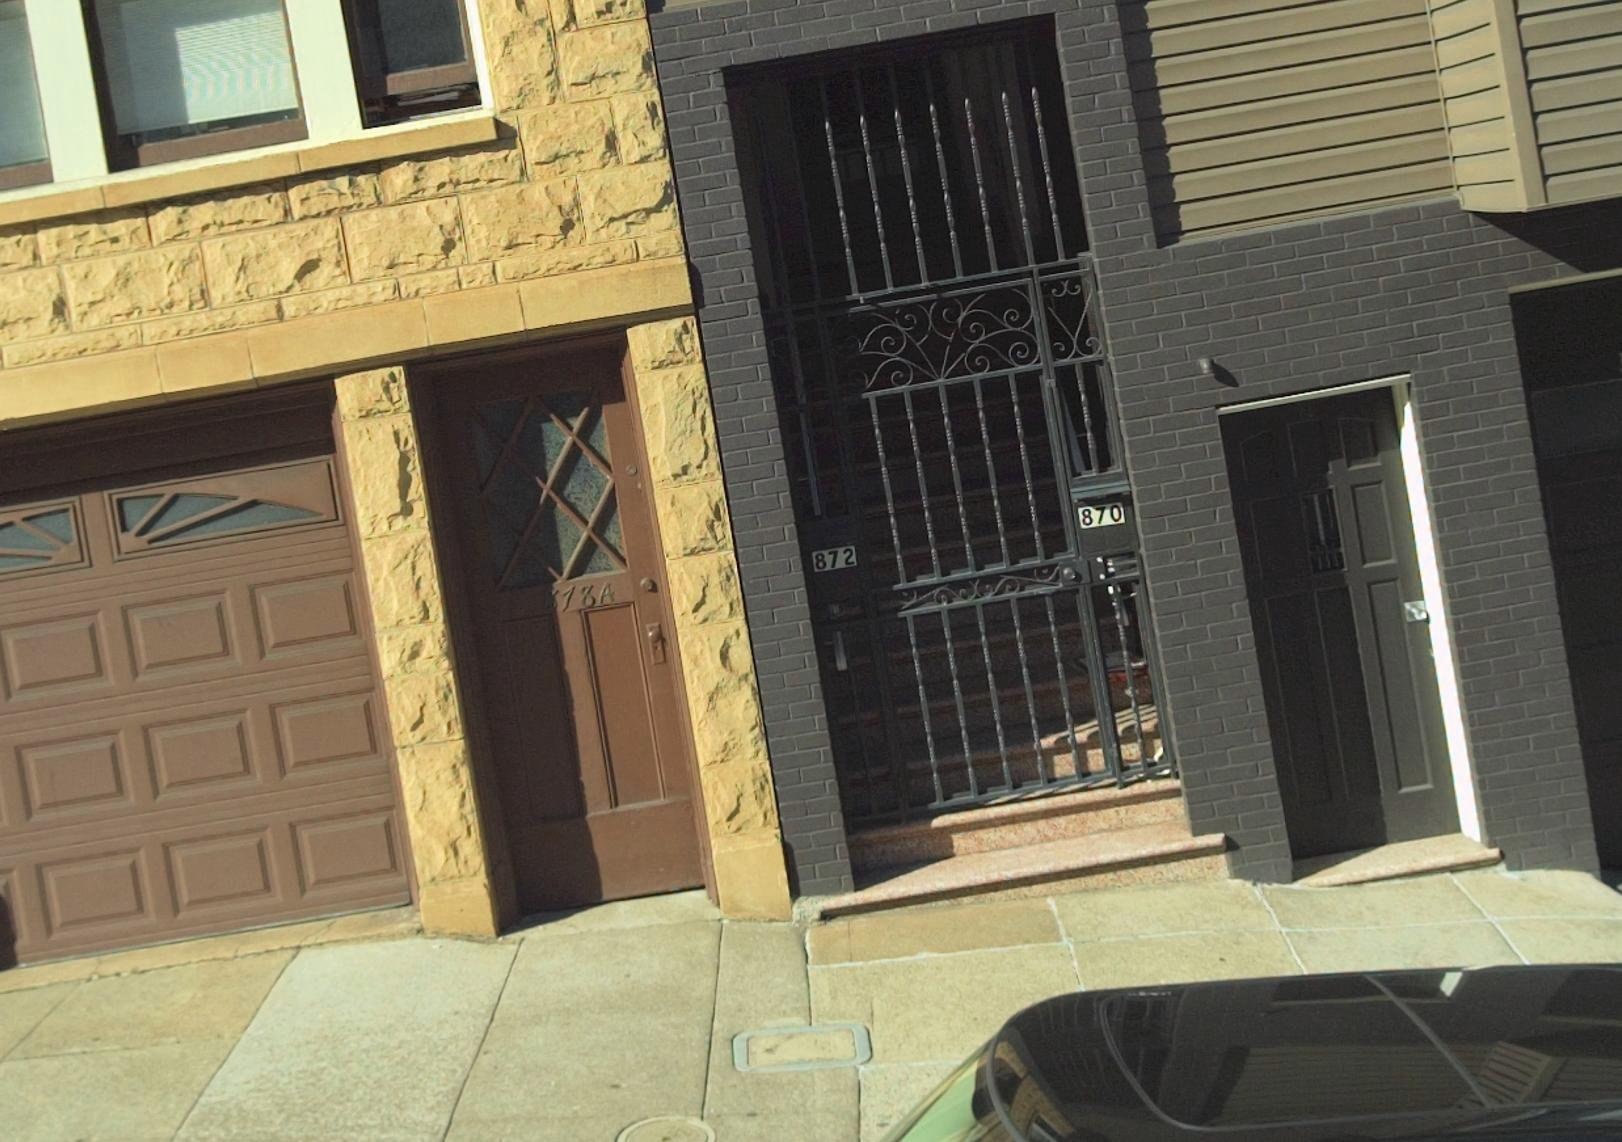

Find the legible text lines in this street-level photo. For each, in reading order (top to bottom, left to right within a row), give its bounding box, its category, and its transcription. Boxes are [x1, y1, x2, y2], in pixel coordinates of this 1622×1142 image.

[1079, 502, 1125, 529] StreetNumber: 870
[813, 546, 858, 572] StreetNumber: 872
[542, 579, 619, 616] StreetNumber: 878A